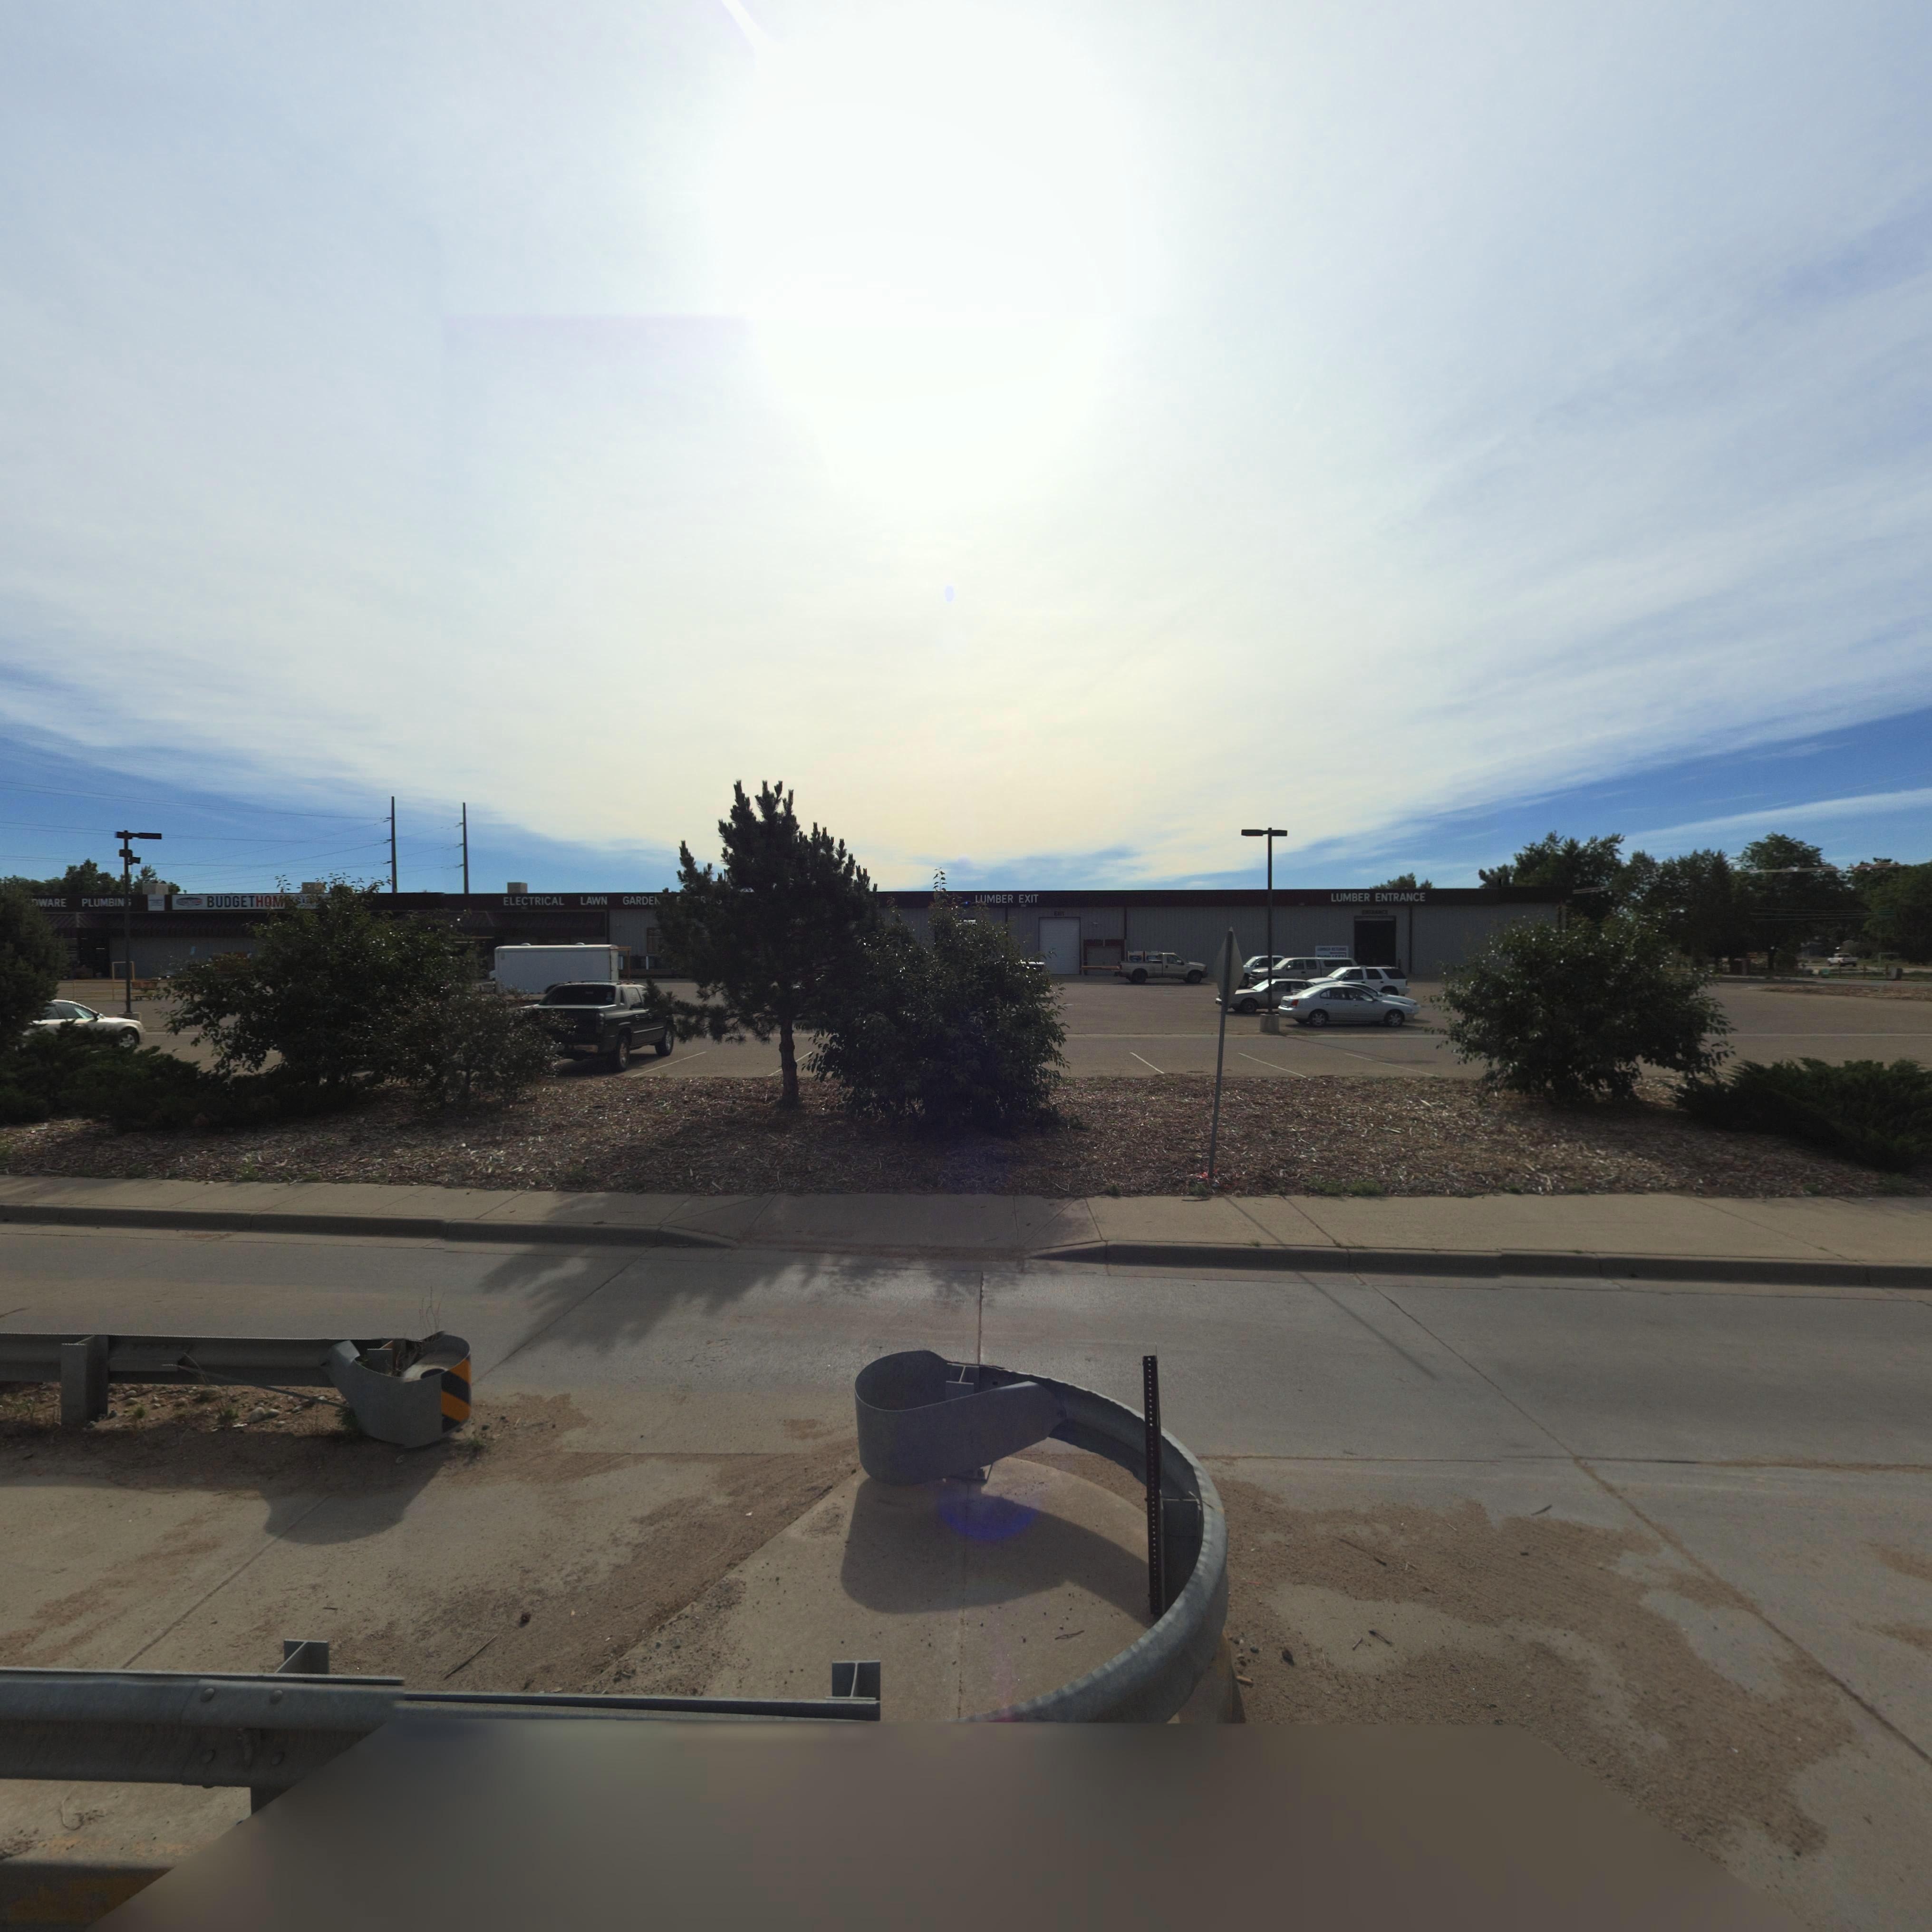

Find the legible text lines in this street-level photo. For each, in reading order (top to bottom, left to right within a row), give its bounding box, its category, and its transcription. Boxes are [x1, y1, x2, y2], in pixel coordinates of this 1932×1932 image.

[206, 895, 294, 908] BusinessName: BUDGETHOM*
[295, 897, 330, 904] BusinessName: S*****